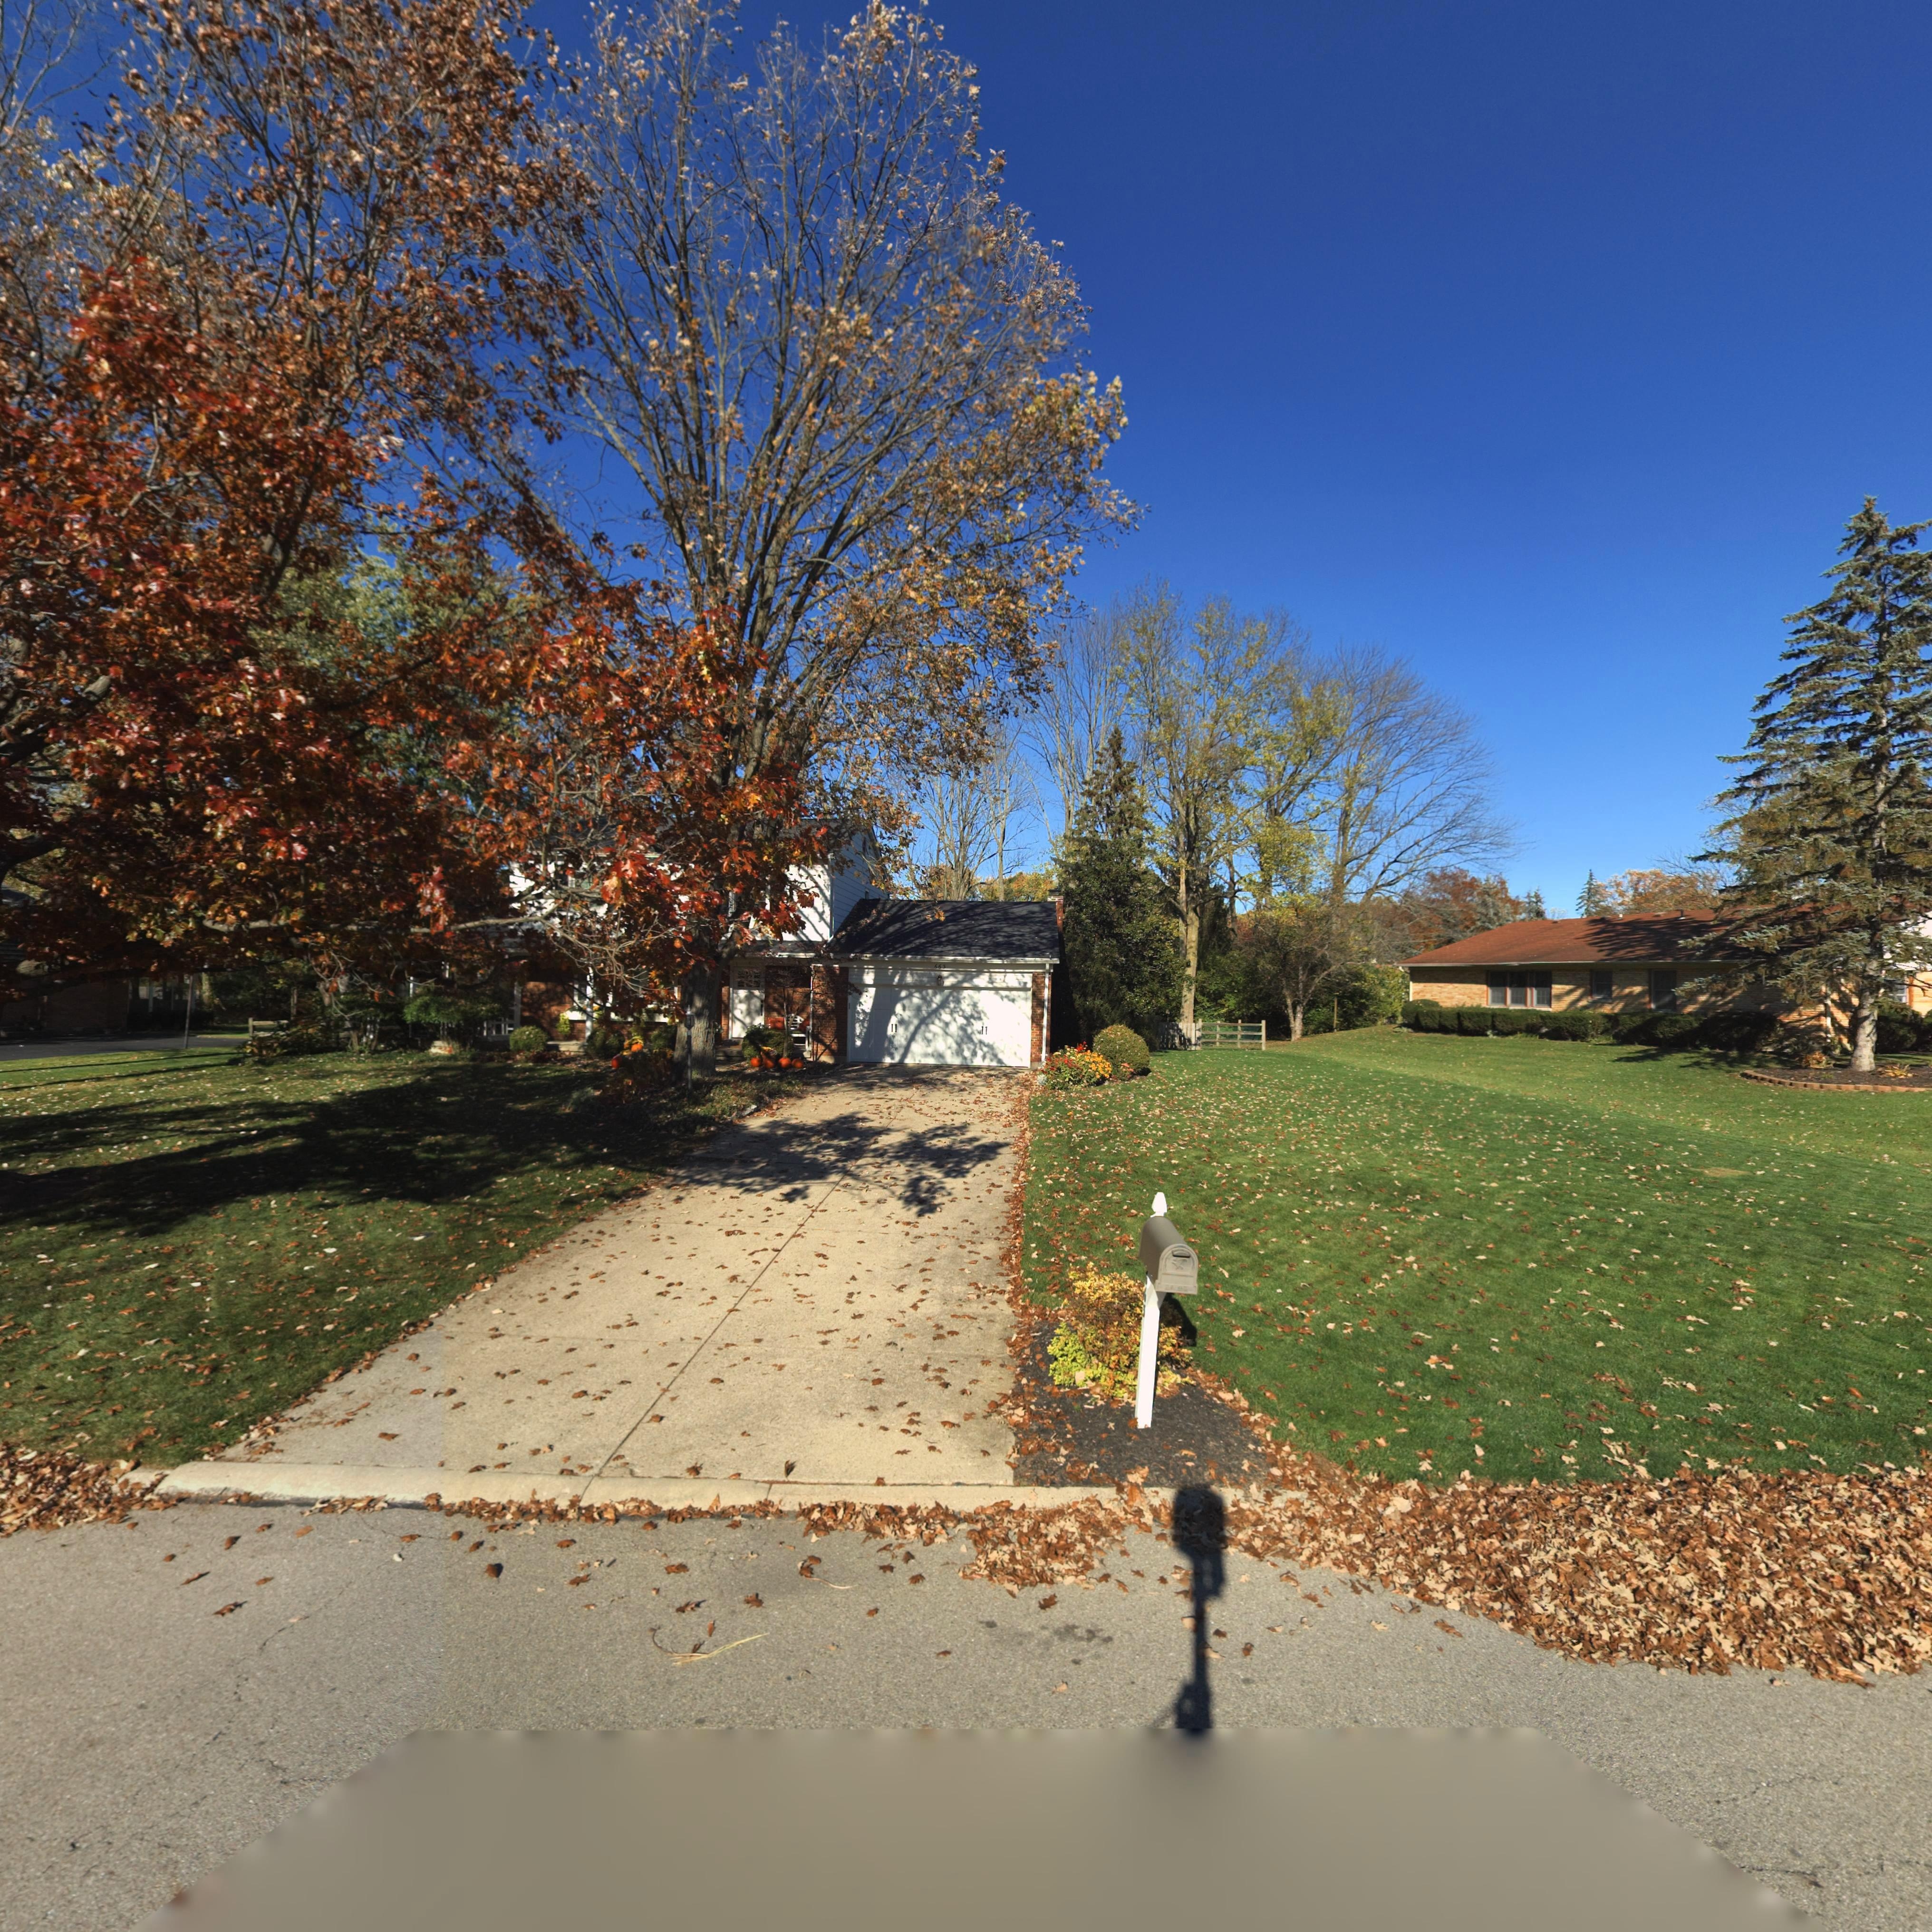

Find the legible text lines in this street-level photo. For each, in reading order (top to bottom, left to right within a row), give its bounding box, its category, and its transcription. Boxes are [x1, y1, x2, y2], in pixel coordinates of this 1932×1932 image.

[934, 964, 947, 969] StreetNumber: 663